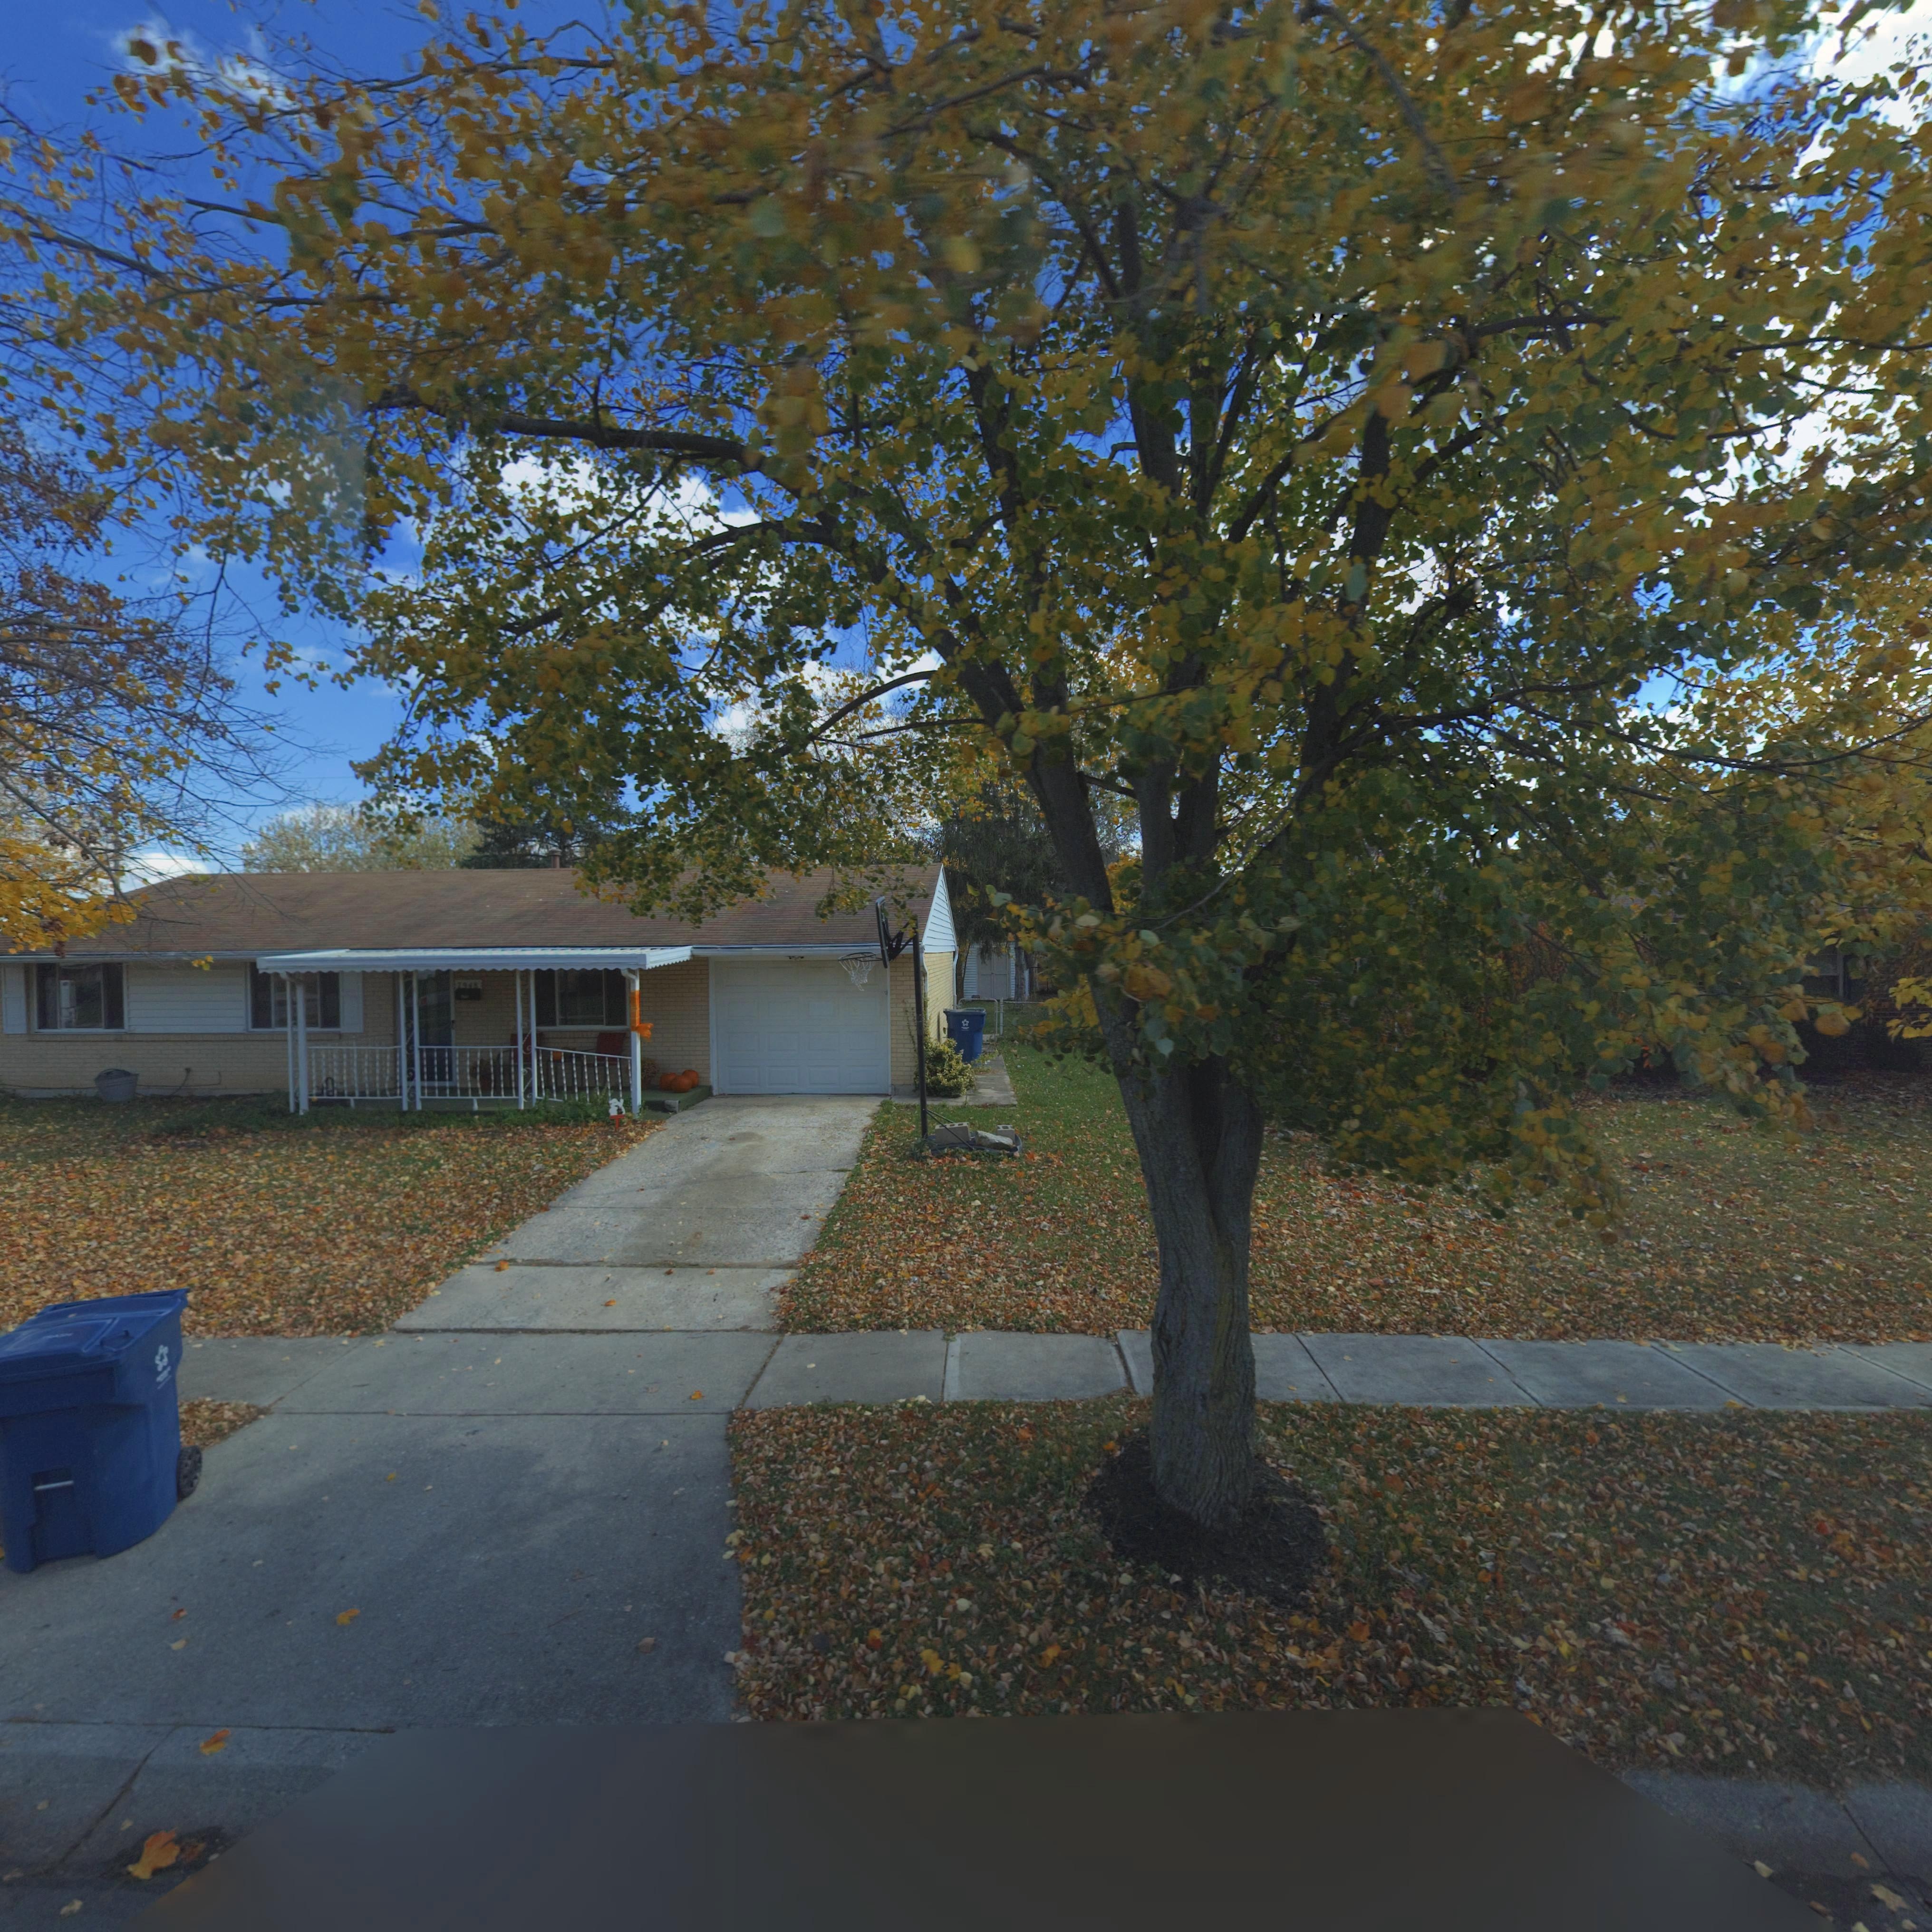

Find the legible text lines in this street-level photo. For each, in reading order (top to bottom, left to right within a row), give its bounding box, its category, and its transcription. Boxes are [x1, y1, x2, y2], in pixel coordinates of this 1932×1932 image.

[457, 981, 479, 989] StreetNumber: 79**